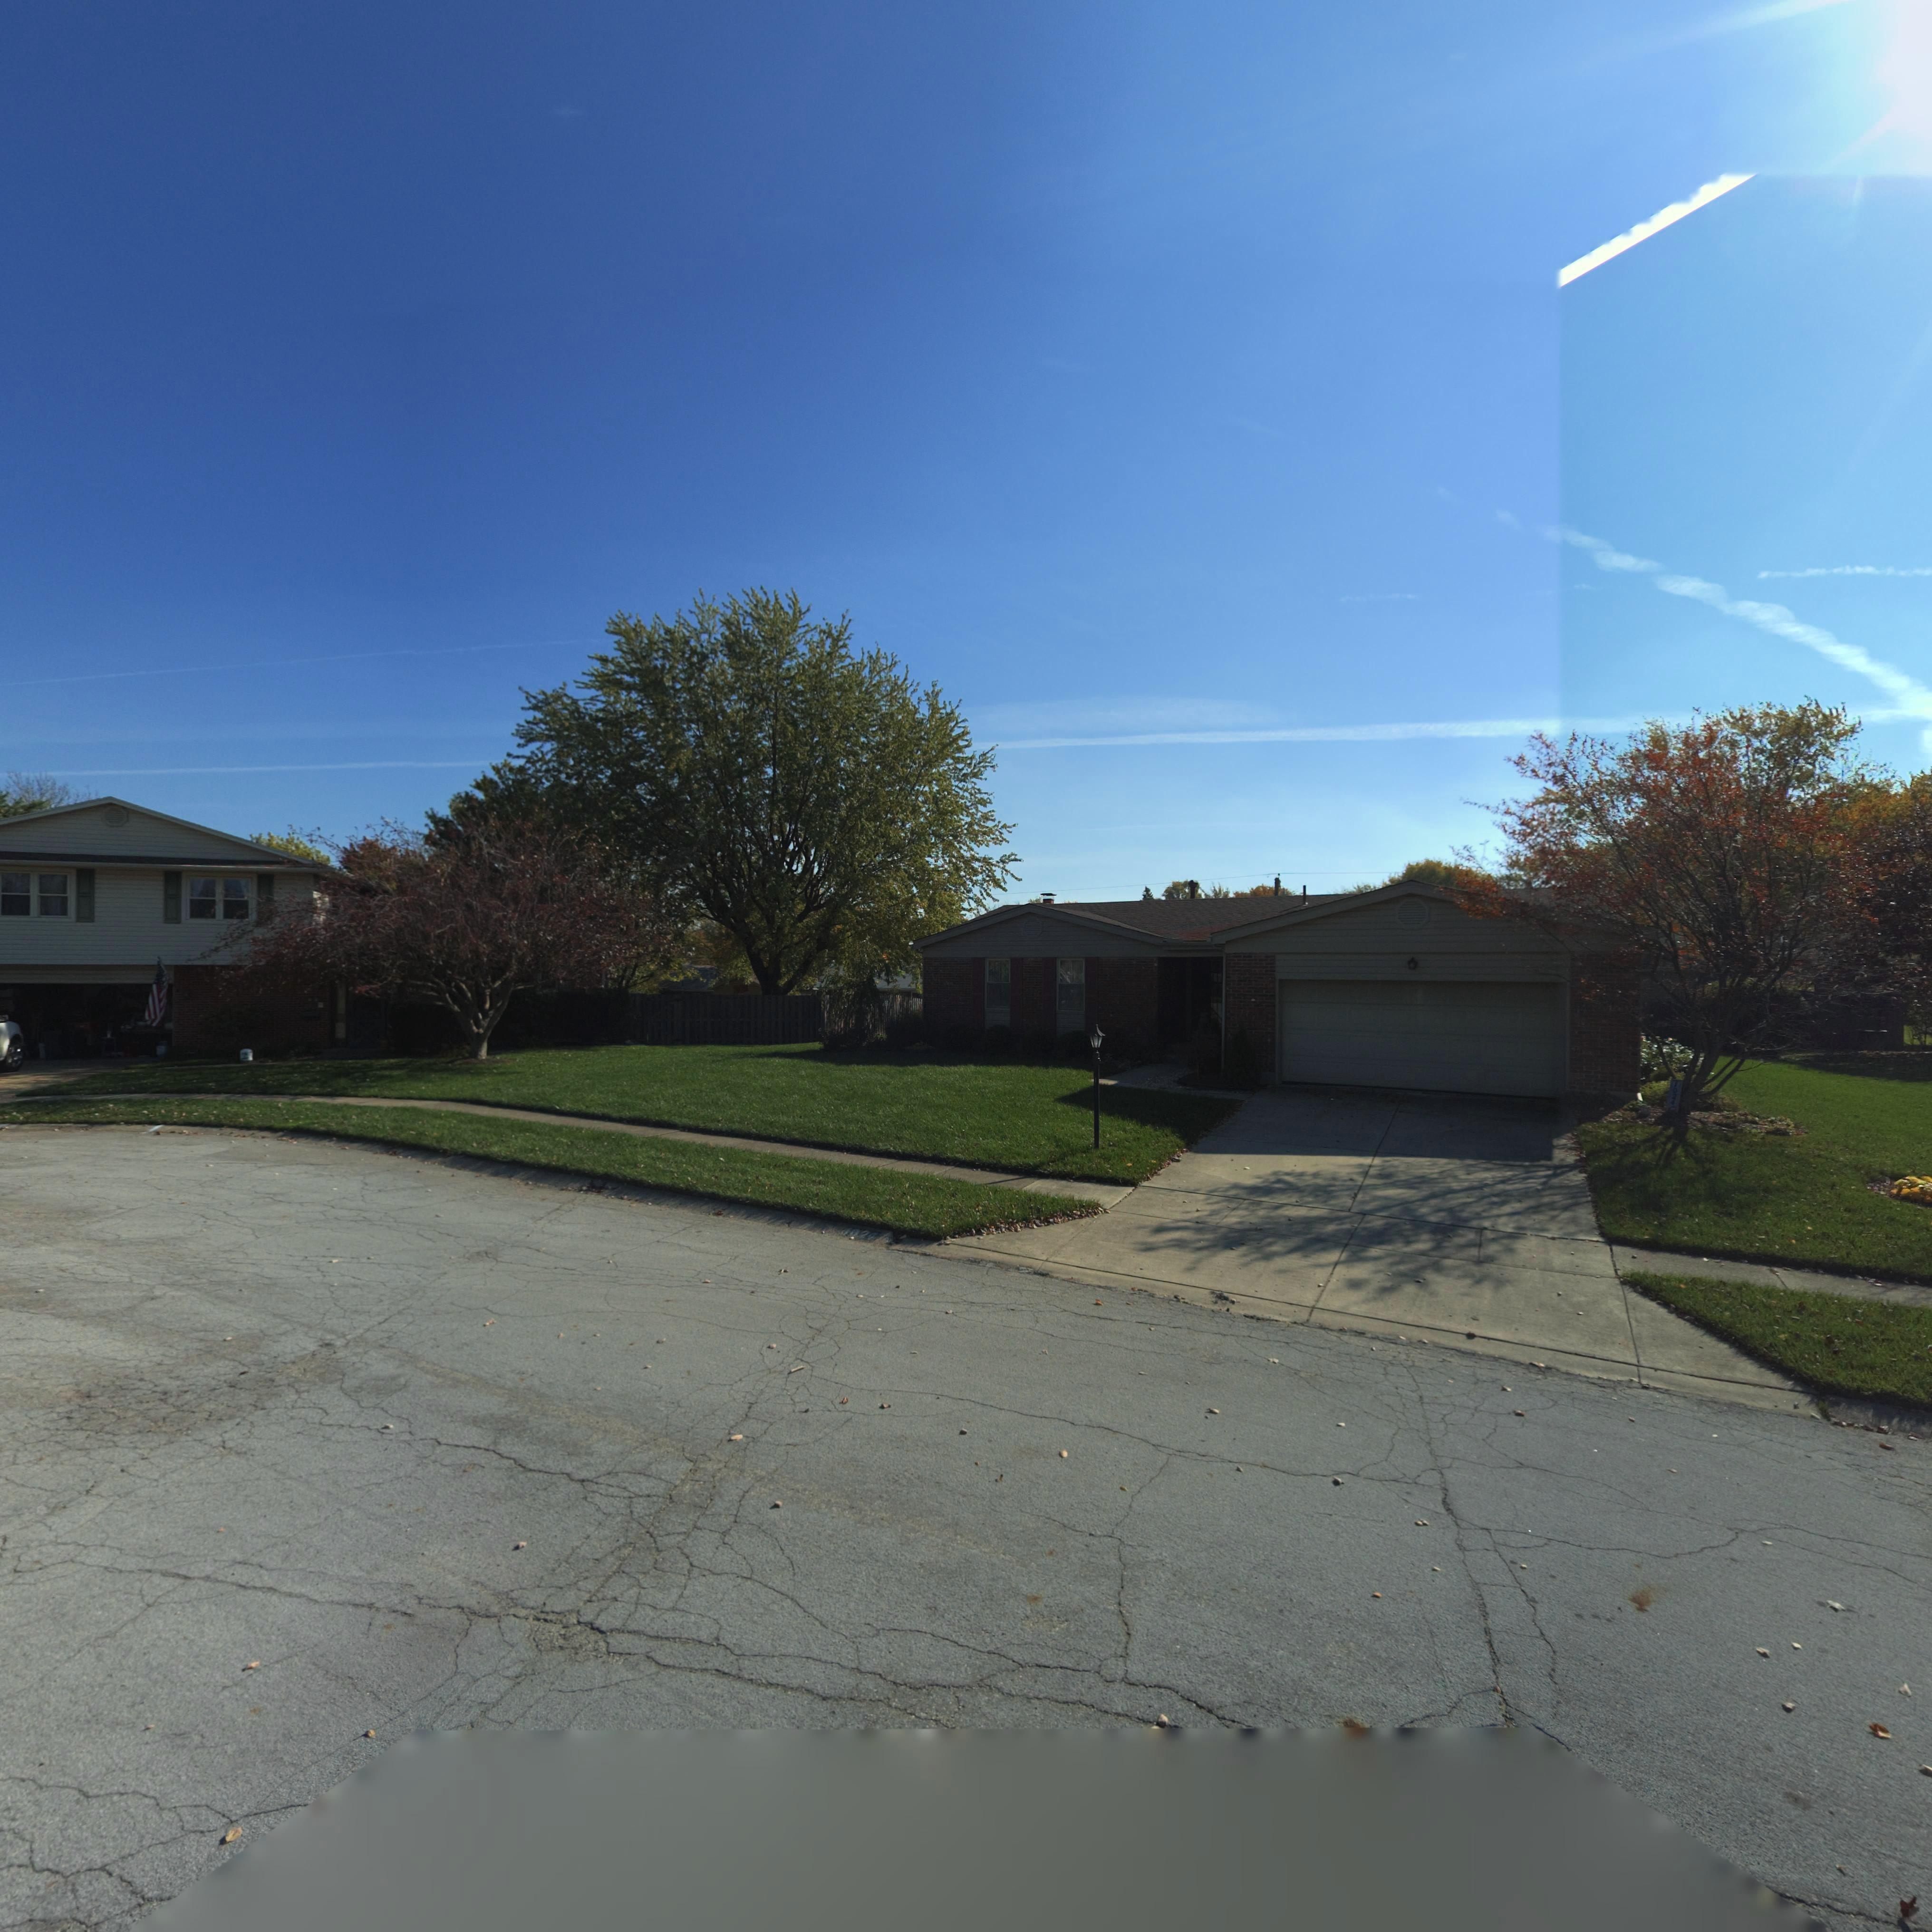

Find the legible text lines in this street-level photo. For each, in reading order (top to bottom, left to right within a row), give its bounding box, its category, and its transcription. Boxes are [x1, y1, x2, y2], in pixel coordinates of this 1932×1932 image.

[1670, 1081, 1679, 1105] StreetNumber: 1024
[841, 1227, 880, 1241] StreetNumber: 1024